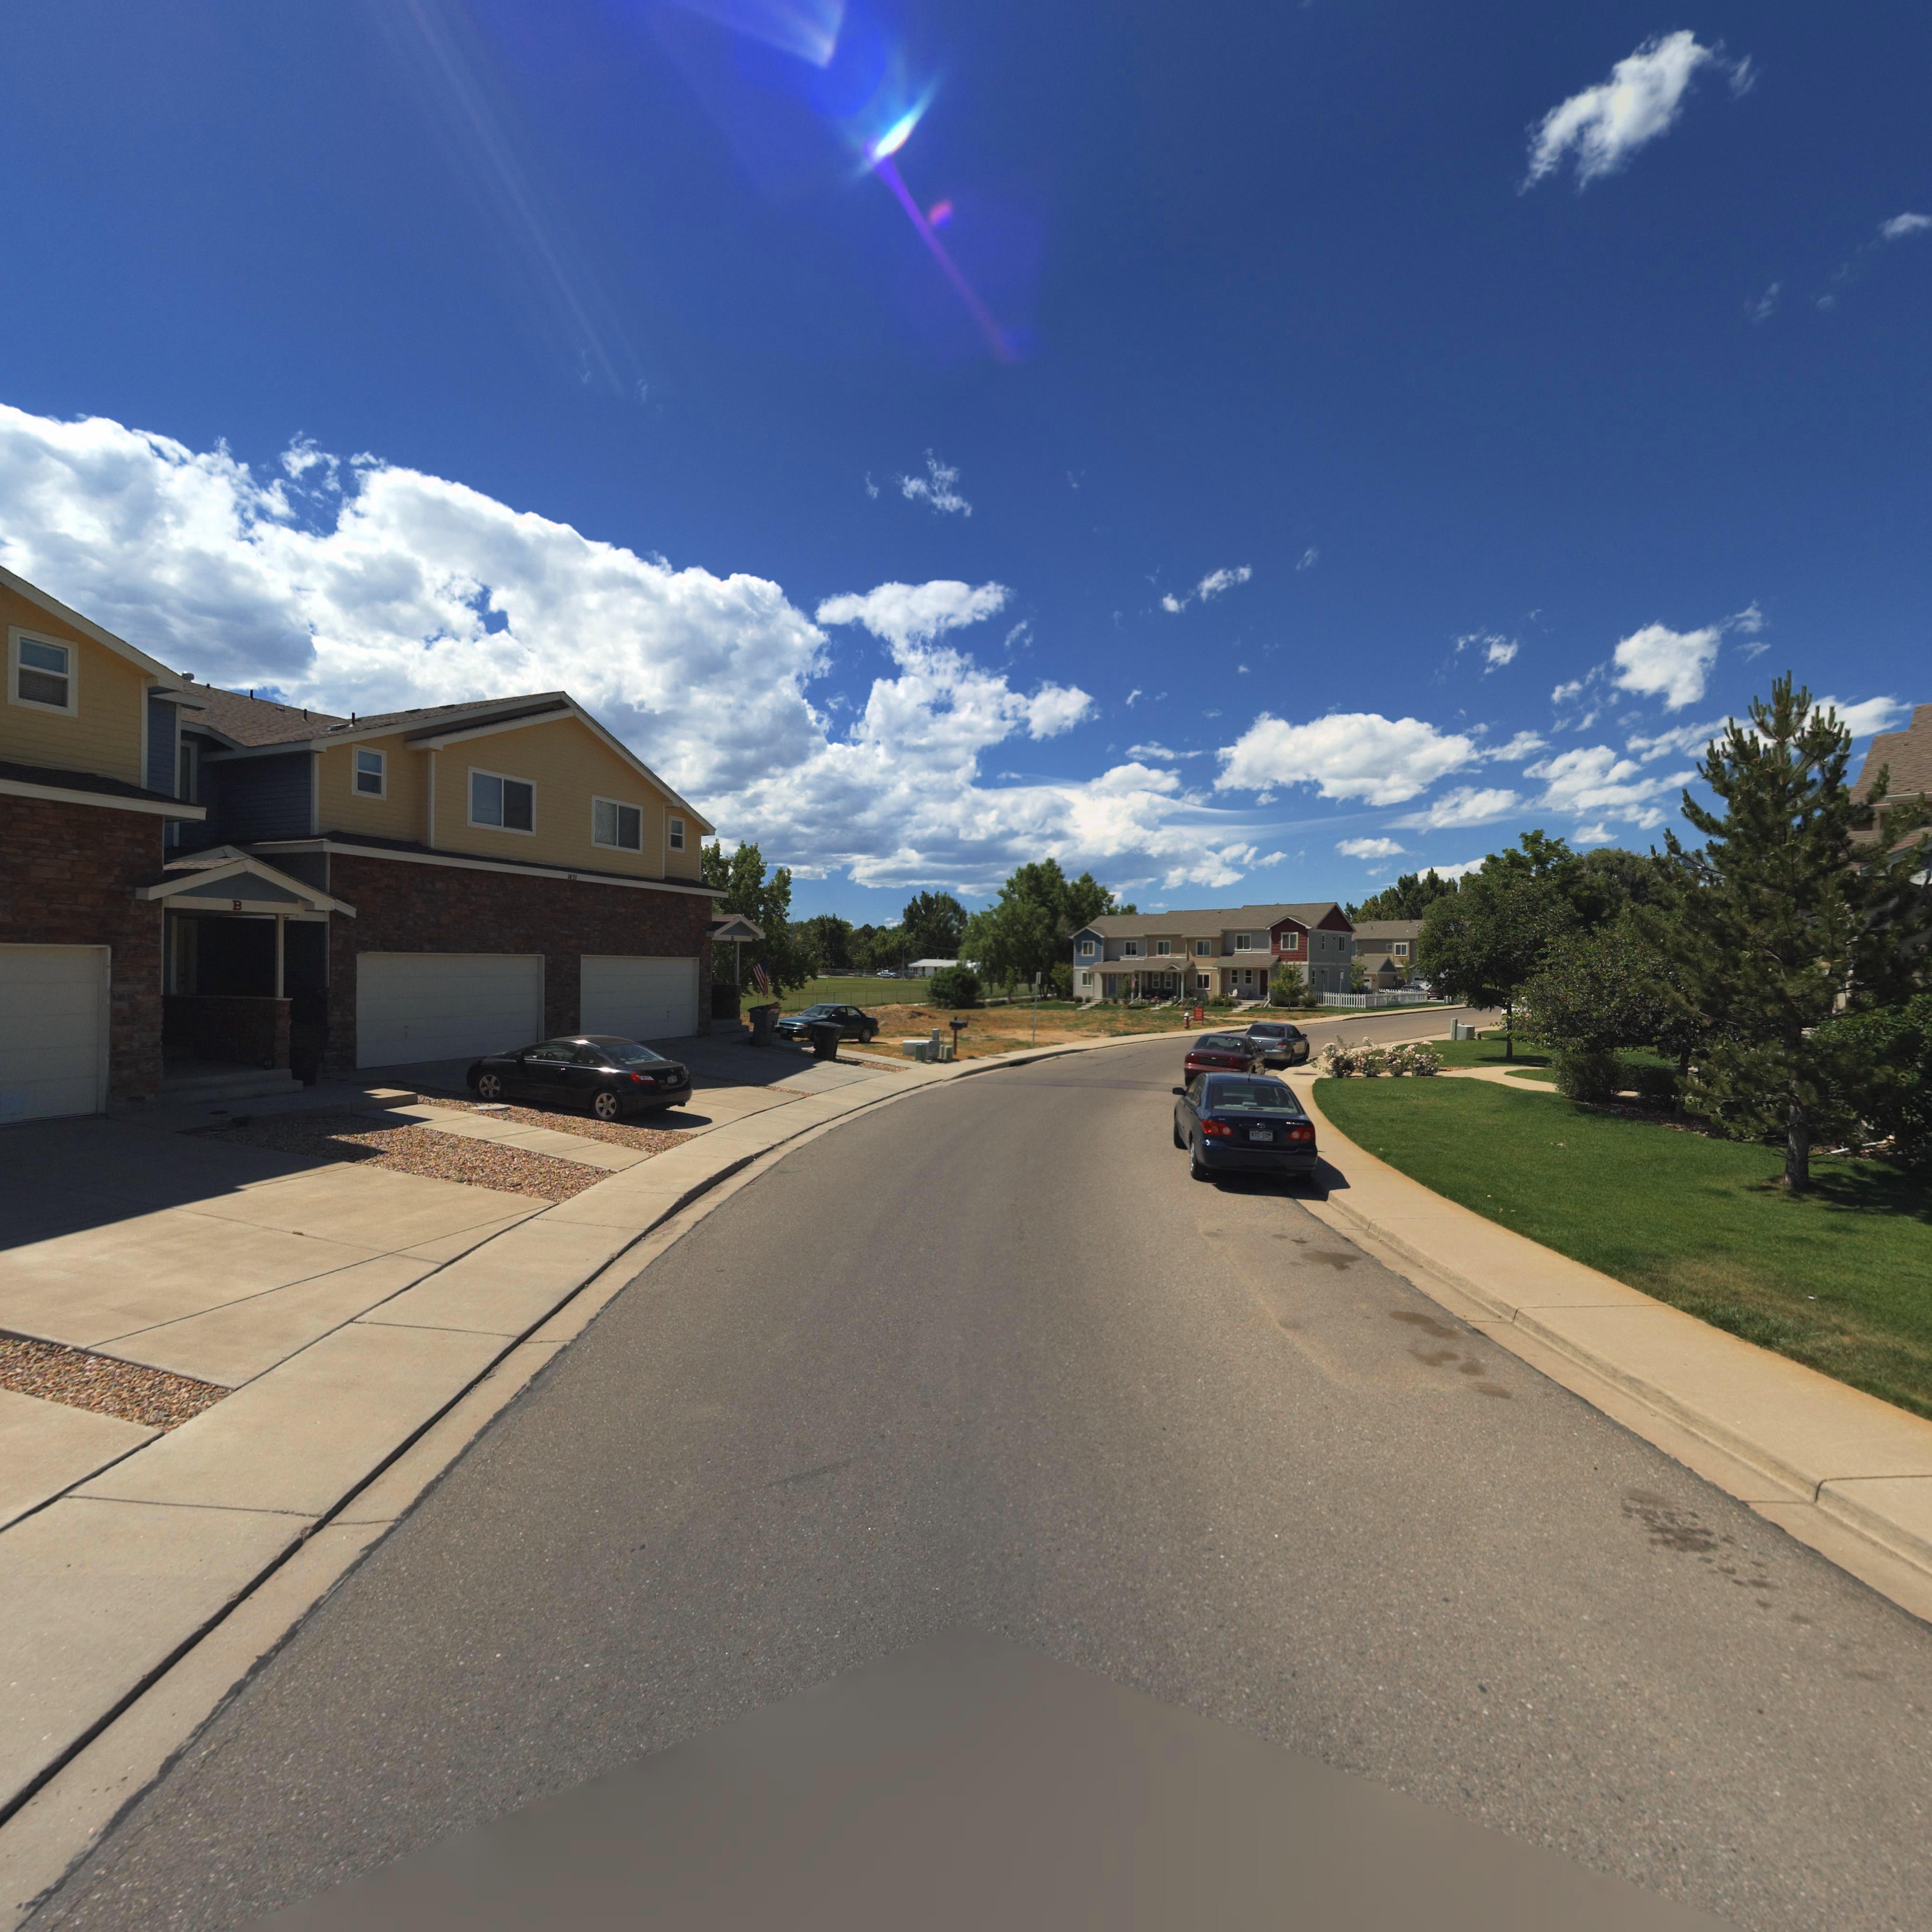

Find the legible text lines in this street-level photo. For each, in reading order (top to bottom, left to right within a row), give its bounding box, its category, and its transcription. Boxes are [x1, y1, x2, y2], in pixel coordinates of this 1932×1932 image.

[567, 873, 577, 881] StreetNumber: 1431